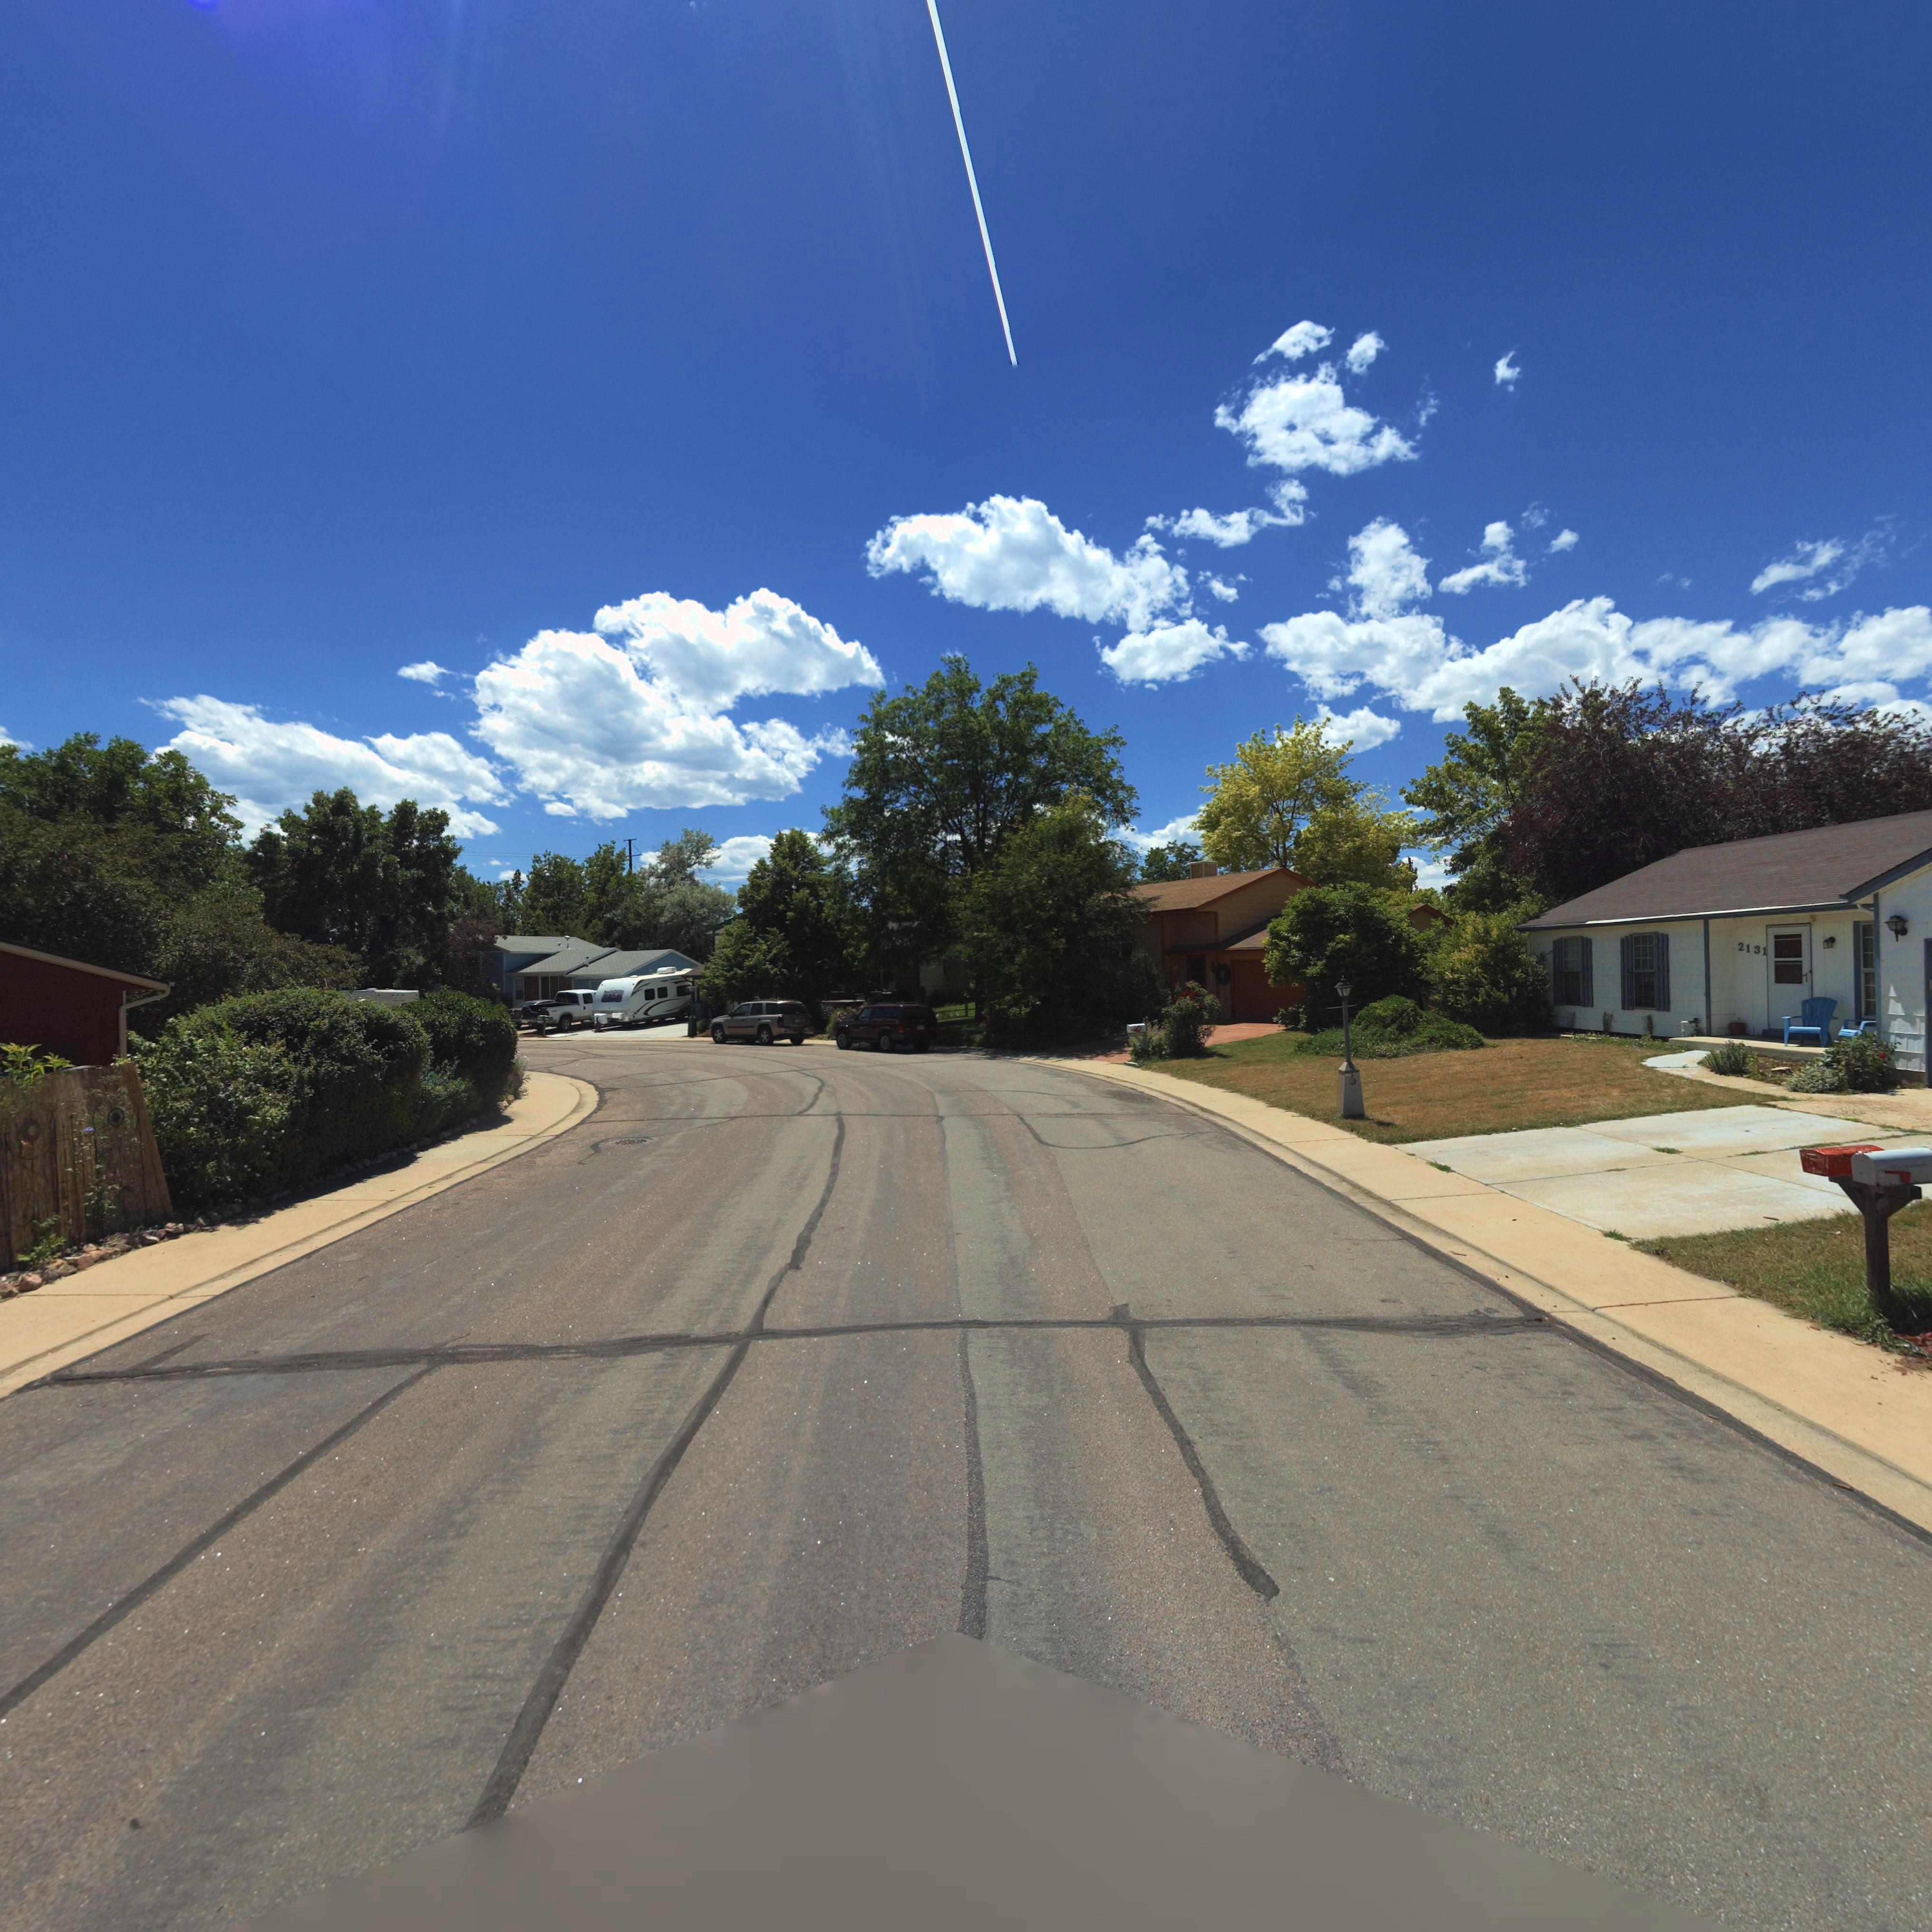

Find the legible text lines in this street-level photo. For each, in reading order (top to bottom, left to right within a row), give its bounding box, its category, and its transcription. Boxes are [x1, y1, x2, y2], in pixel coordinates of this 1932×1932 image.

[1737, 941, 1767, 956] StreetNumber: 2131